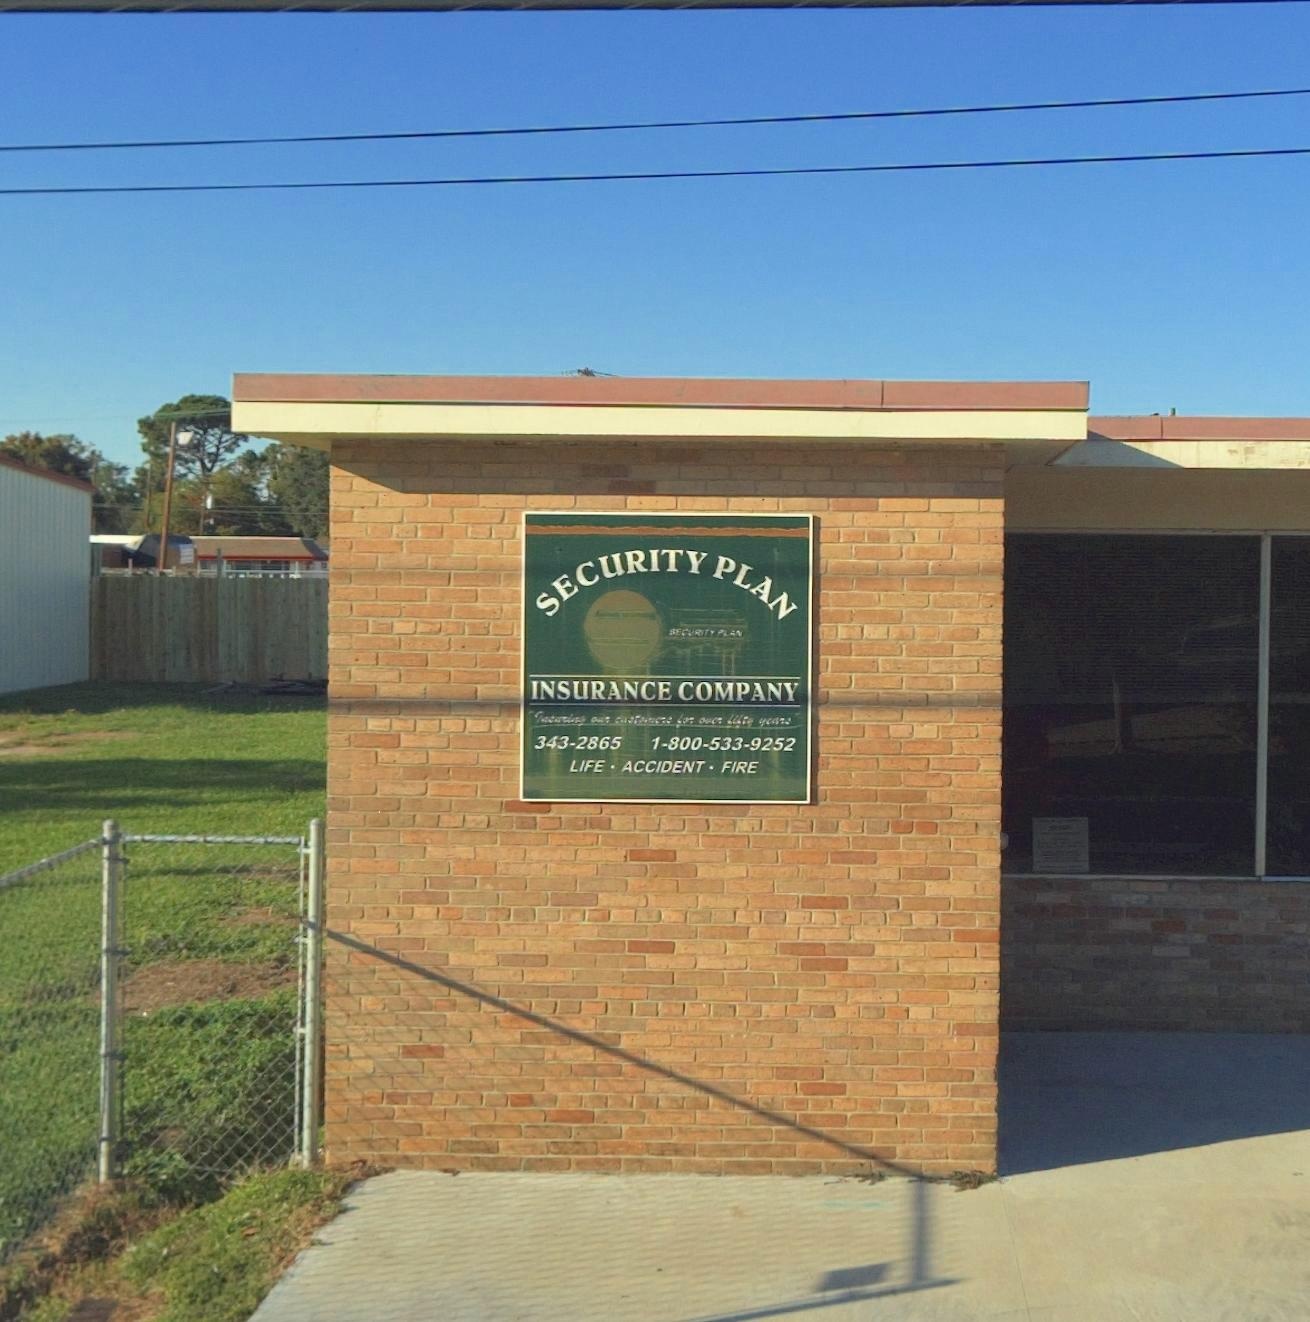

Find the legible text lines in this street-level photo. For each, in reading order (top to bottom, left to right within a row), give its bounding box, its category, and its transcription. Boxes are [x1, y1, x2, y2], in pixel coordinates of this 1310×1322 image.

[532, 547, 801, 623] BusinessName: SECURITY PLAN
[668, 627, 744, 640] BusinessName: SECURITY PLAN
[530, 679, 800, 702] BusinessName: INSURANCE COMPANY
[534, 734, 623, 751] None: 343-2865
[650, 734, 797, 753] None: 1-800-533-9252
[568, 759, 760, 775] None: LIFE - ACCIDENT - FIRE